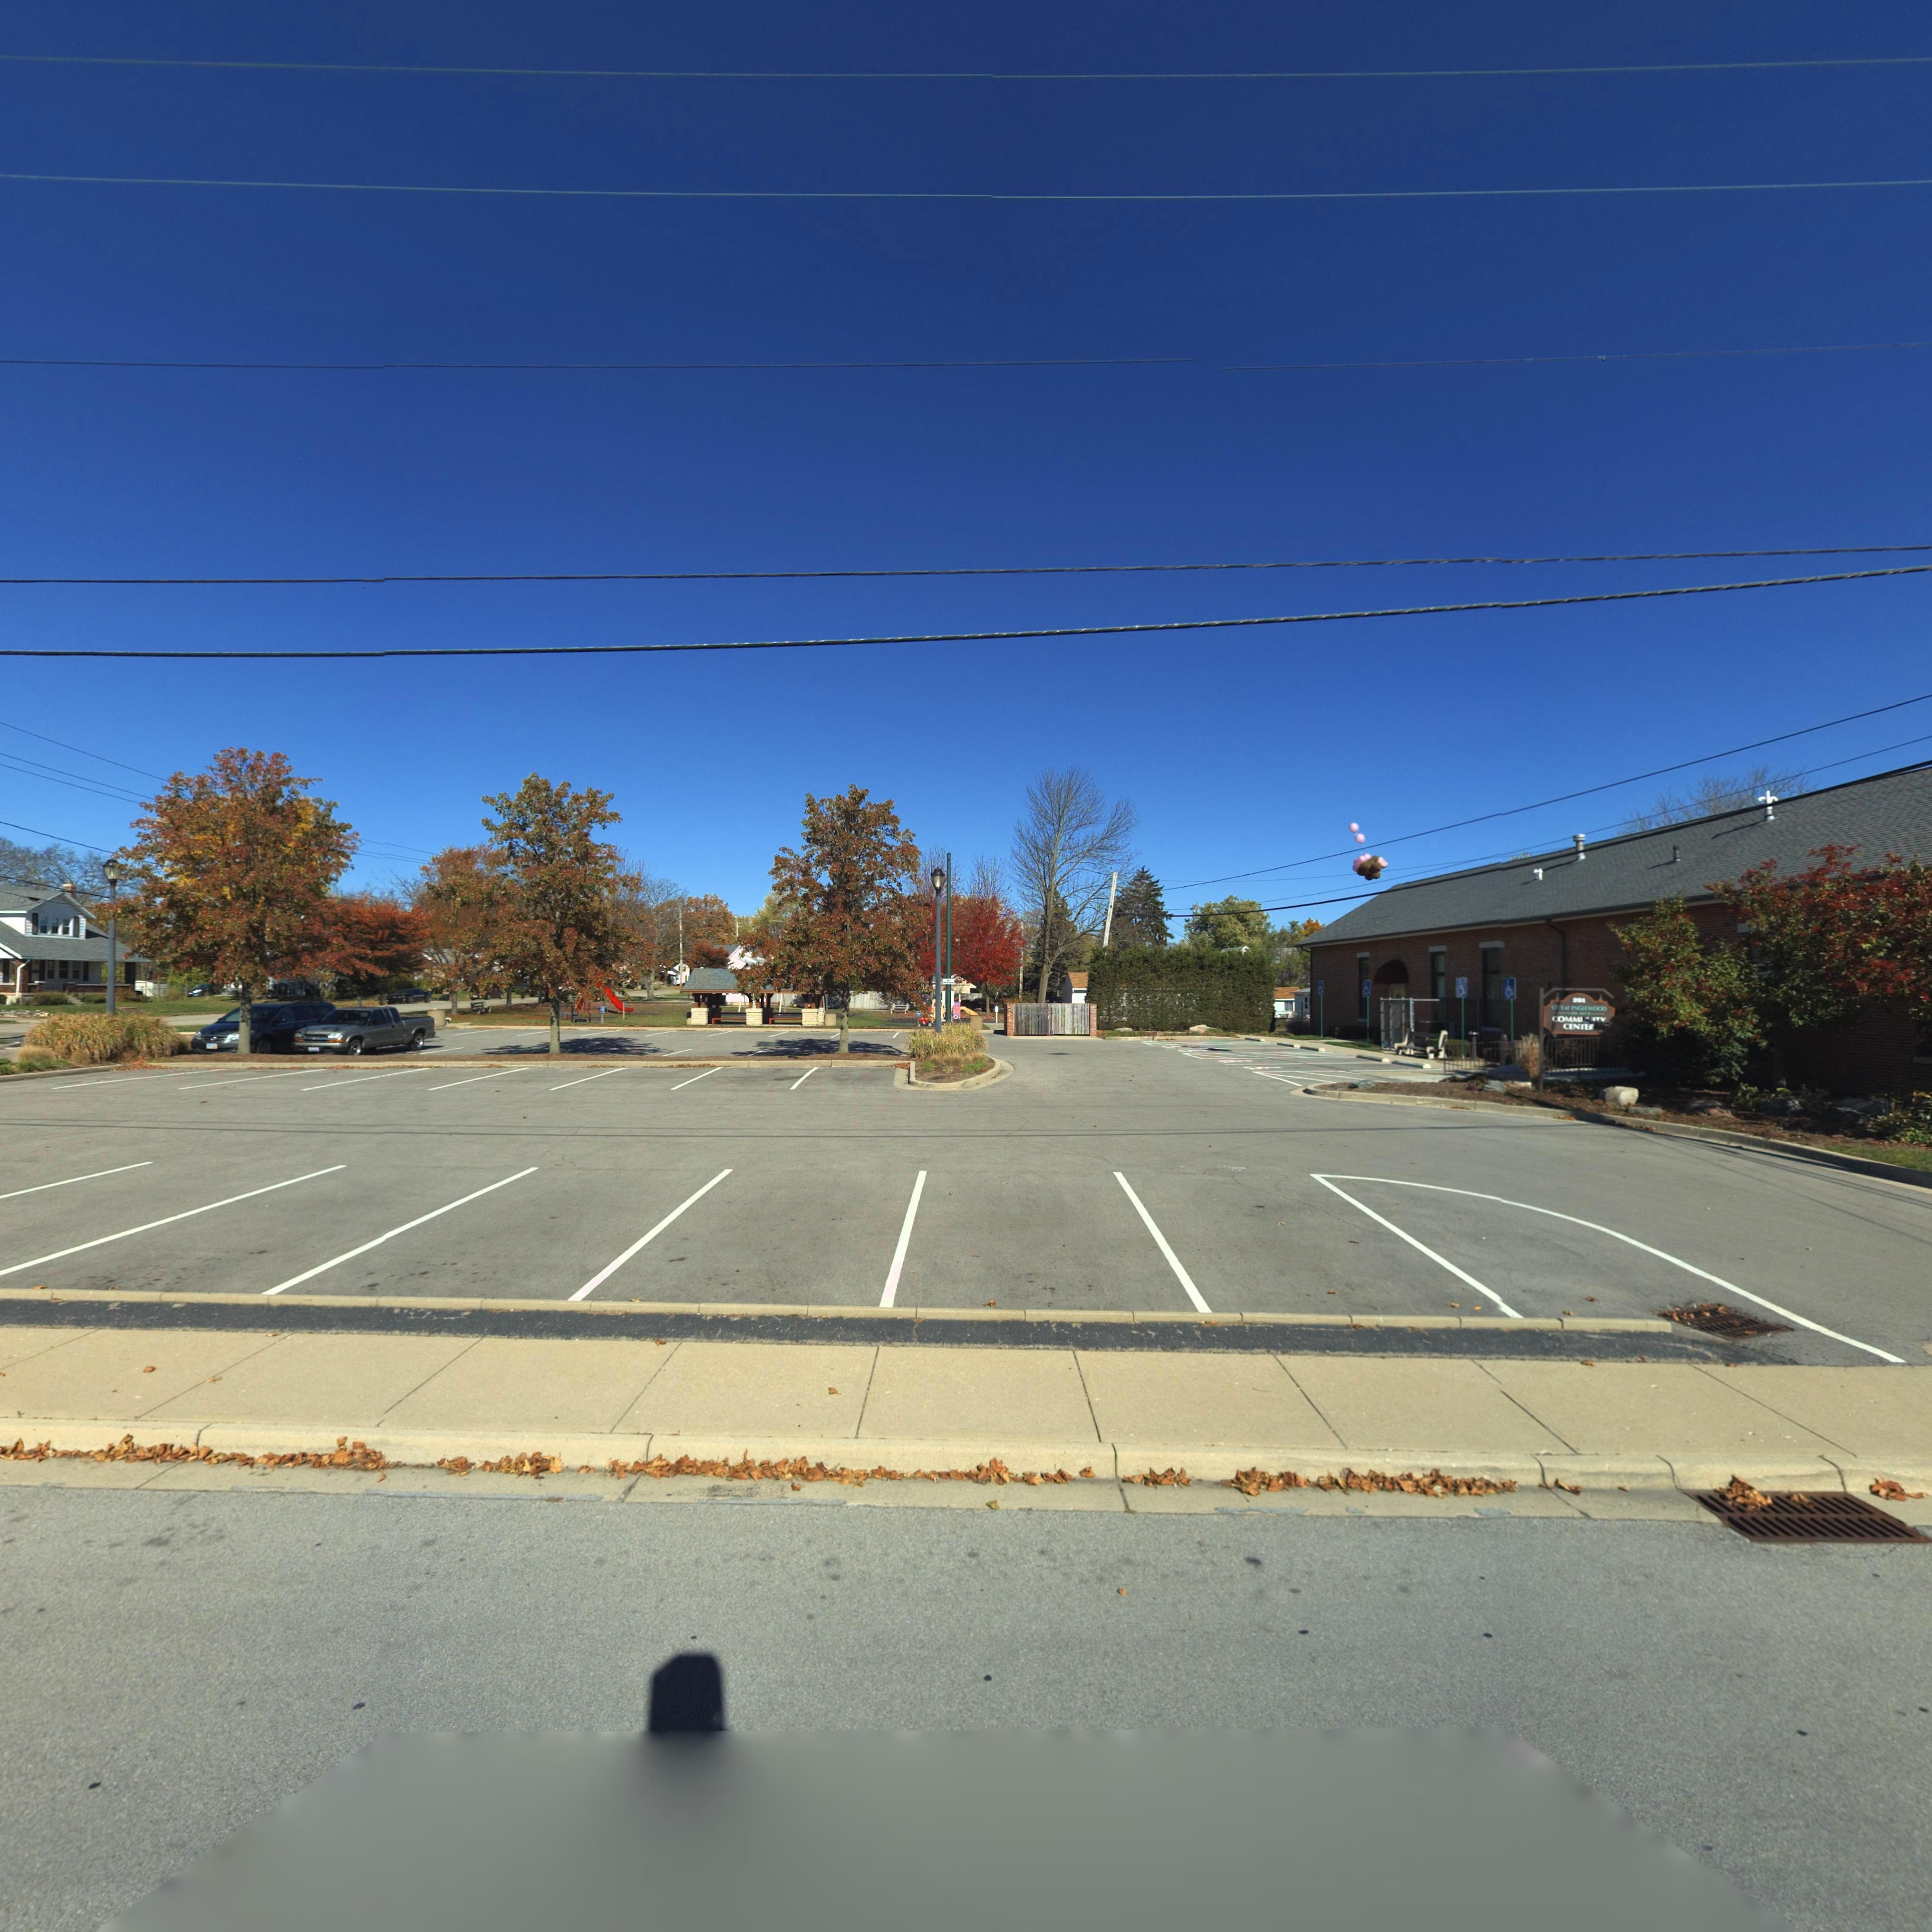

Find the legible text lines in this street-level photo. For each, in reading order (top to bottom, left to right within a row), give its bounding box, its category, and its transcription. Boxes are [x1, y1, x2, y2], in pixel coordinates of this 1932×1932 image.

[1572, 997, 1586, 1004] StreetNumber: 201
[1570, 1005, 1608, 1012] None: ENGLEWOOD
[1550, 1015, 1581, 1024] None: COMM
[1562, 1023, 1594, 1031] None: CENTER